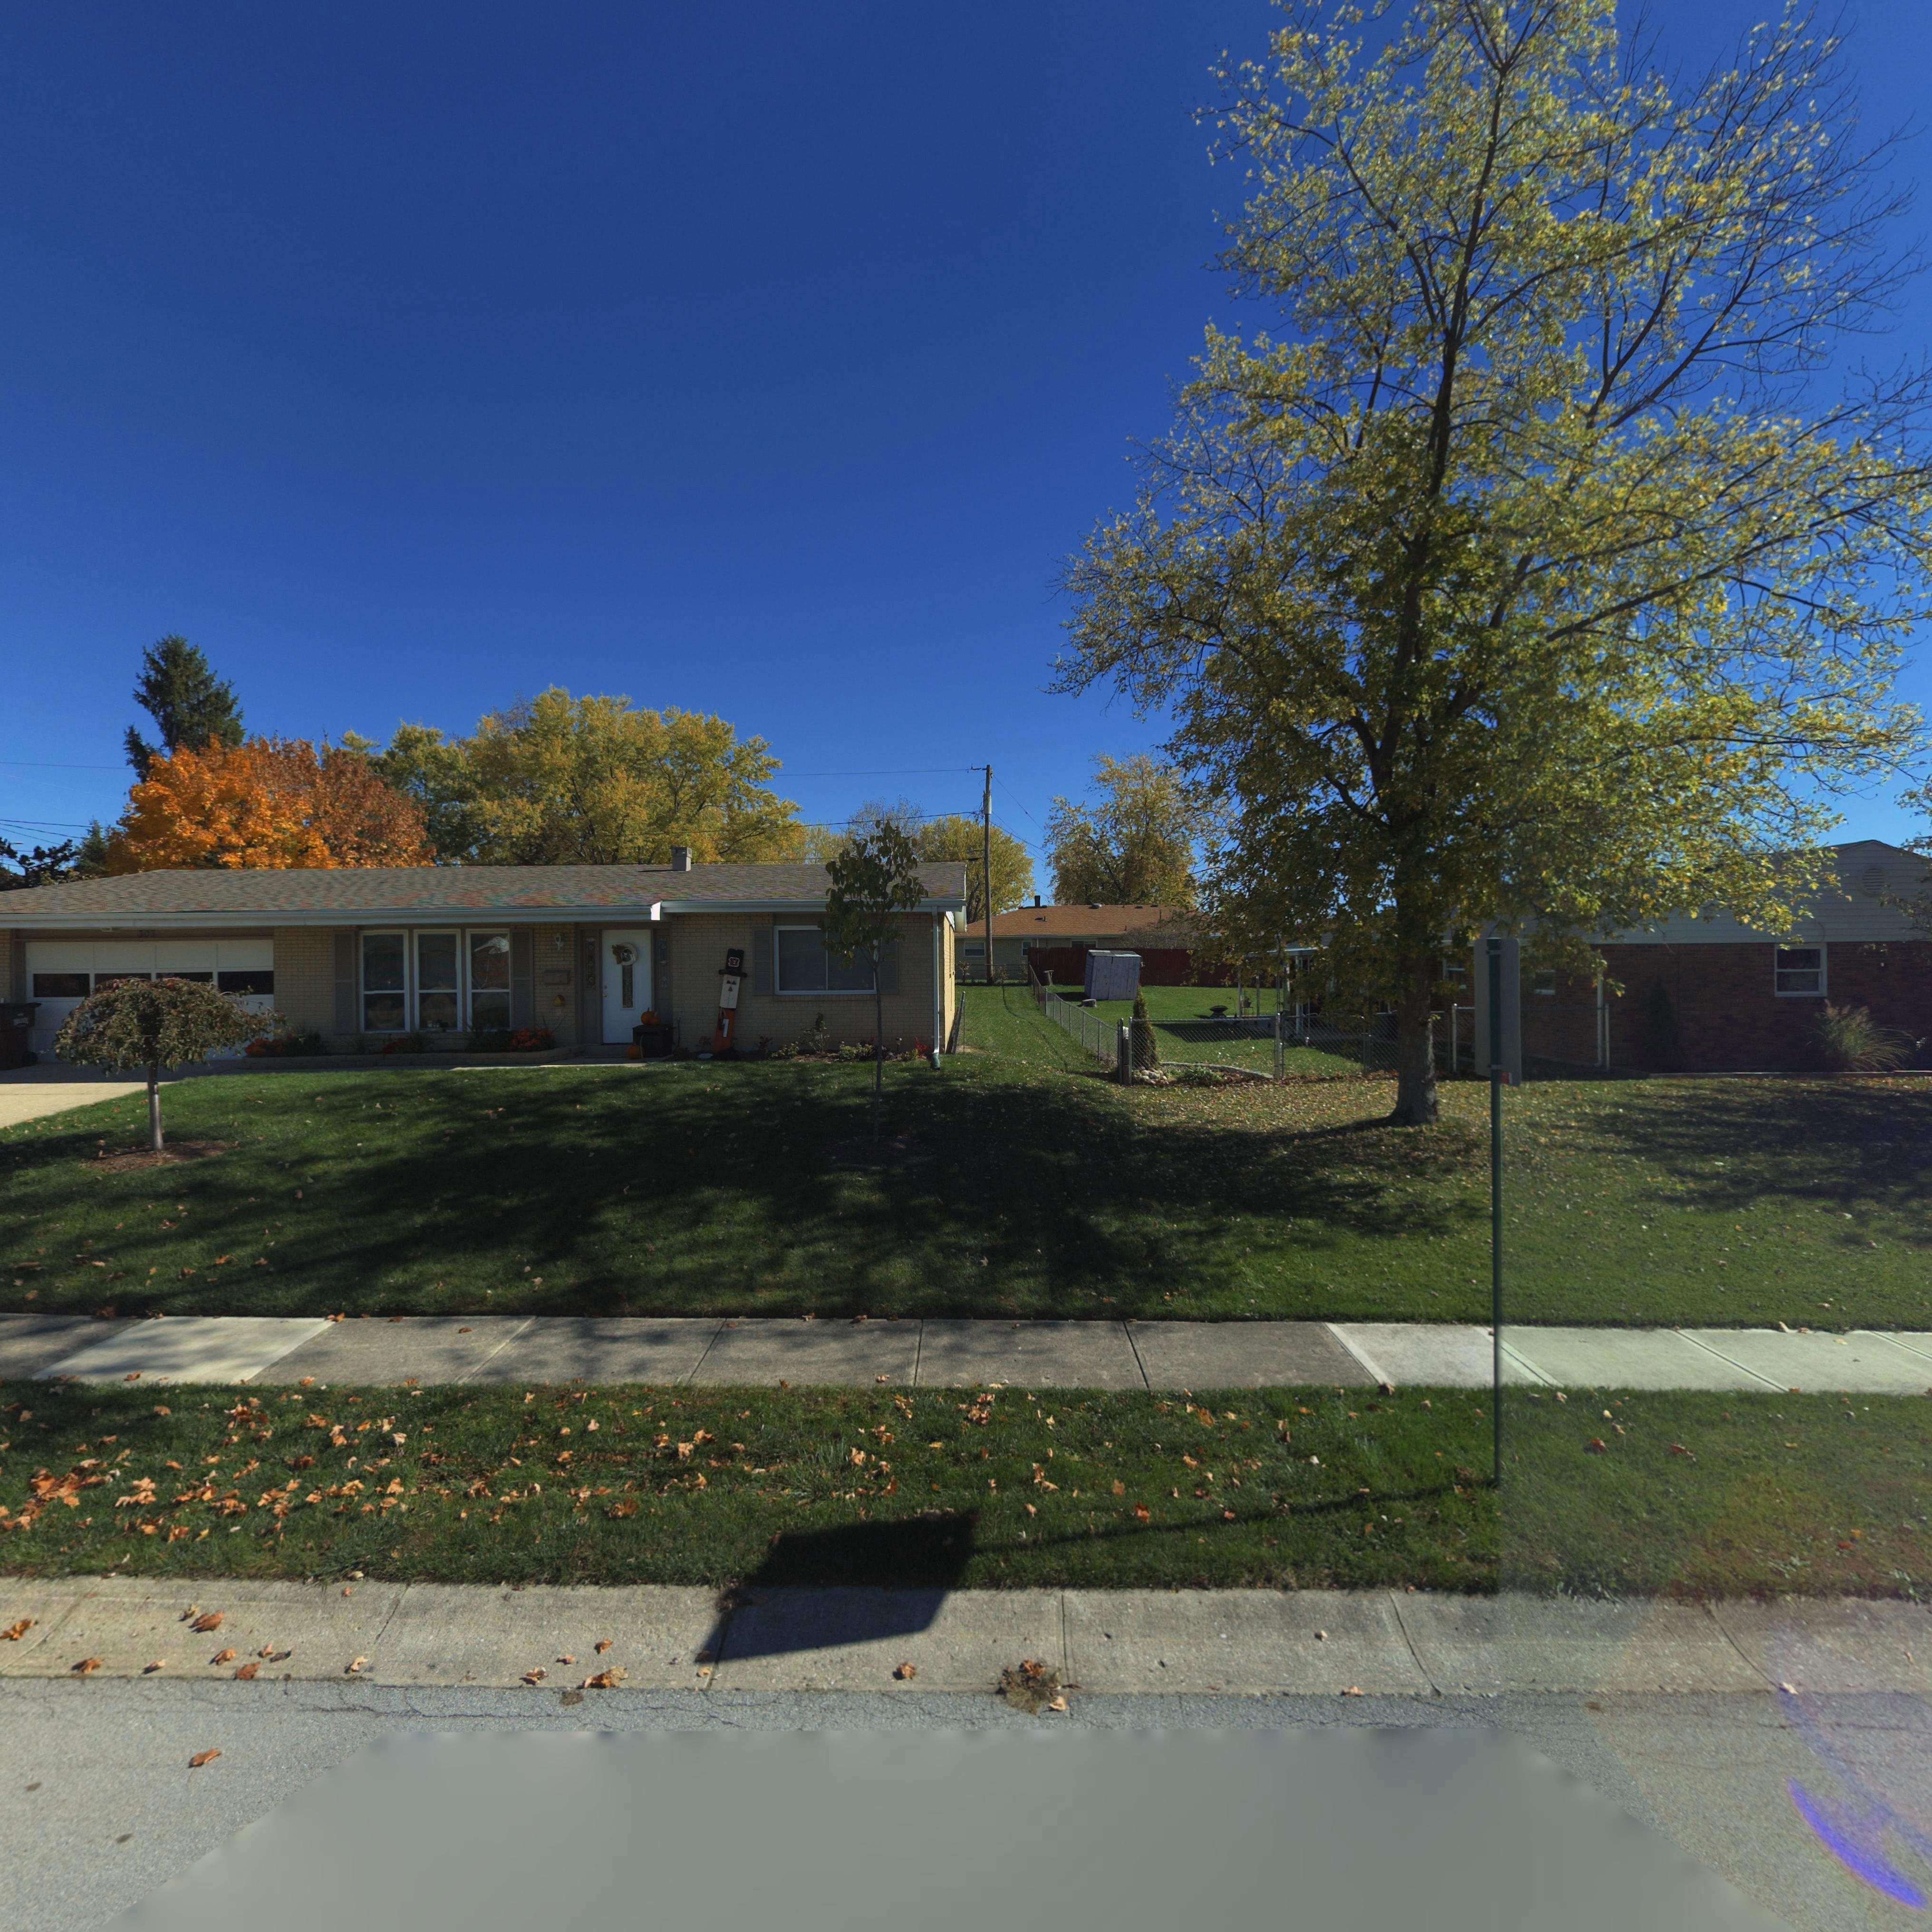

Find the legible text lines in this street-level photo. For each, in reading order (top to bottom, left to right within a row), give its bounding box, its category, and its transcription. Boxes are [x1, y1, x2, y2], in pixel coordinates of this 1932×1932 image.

[136, 929, 156, 937] StreetNumber: 303